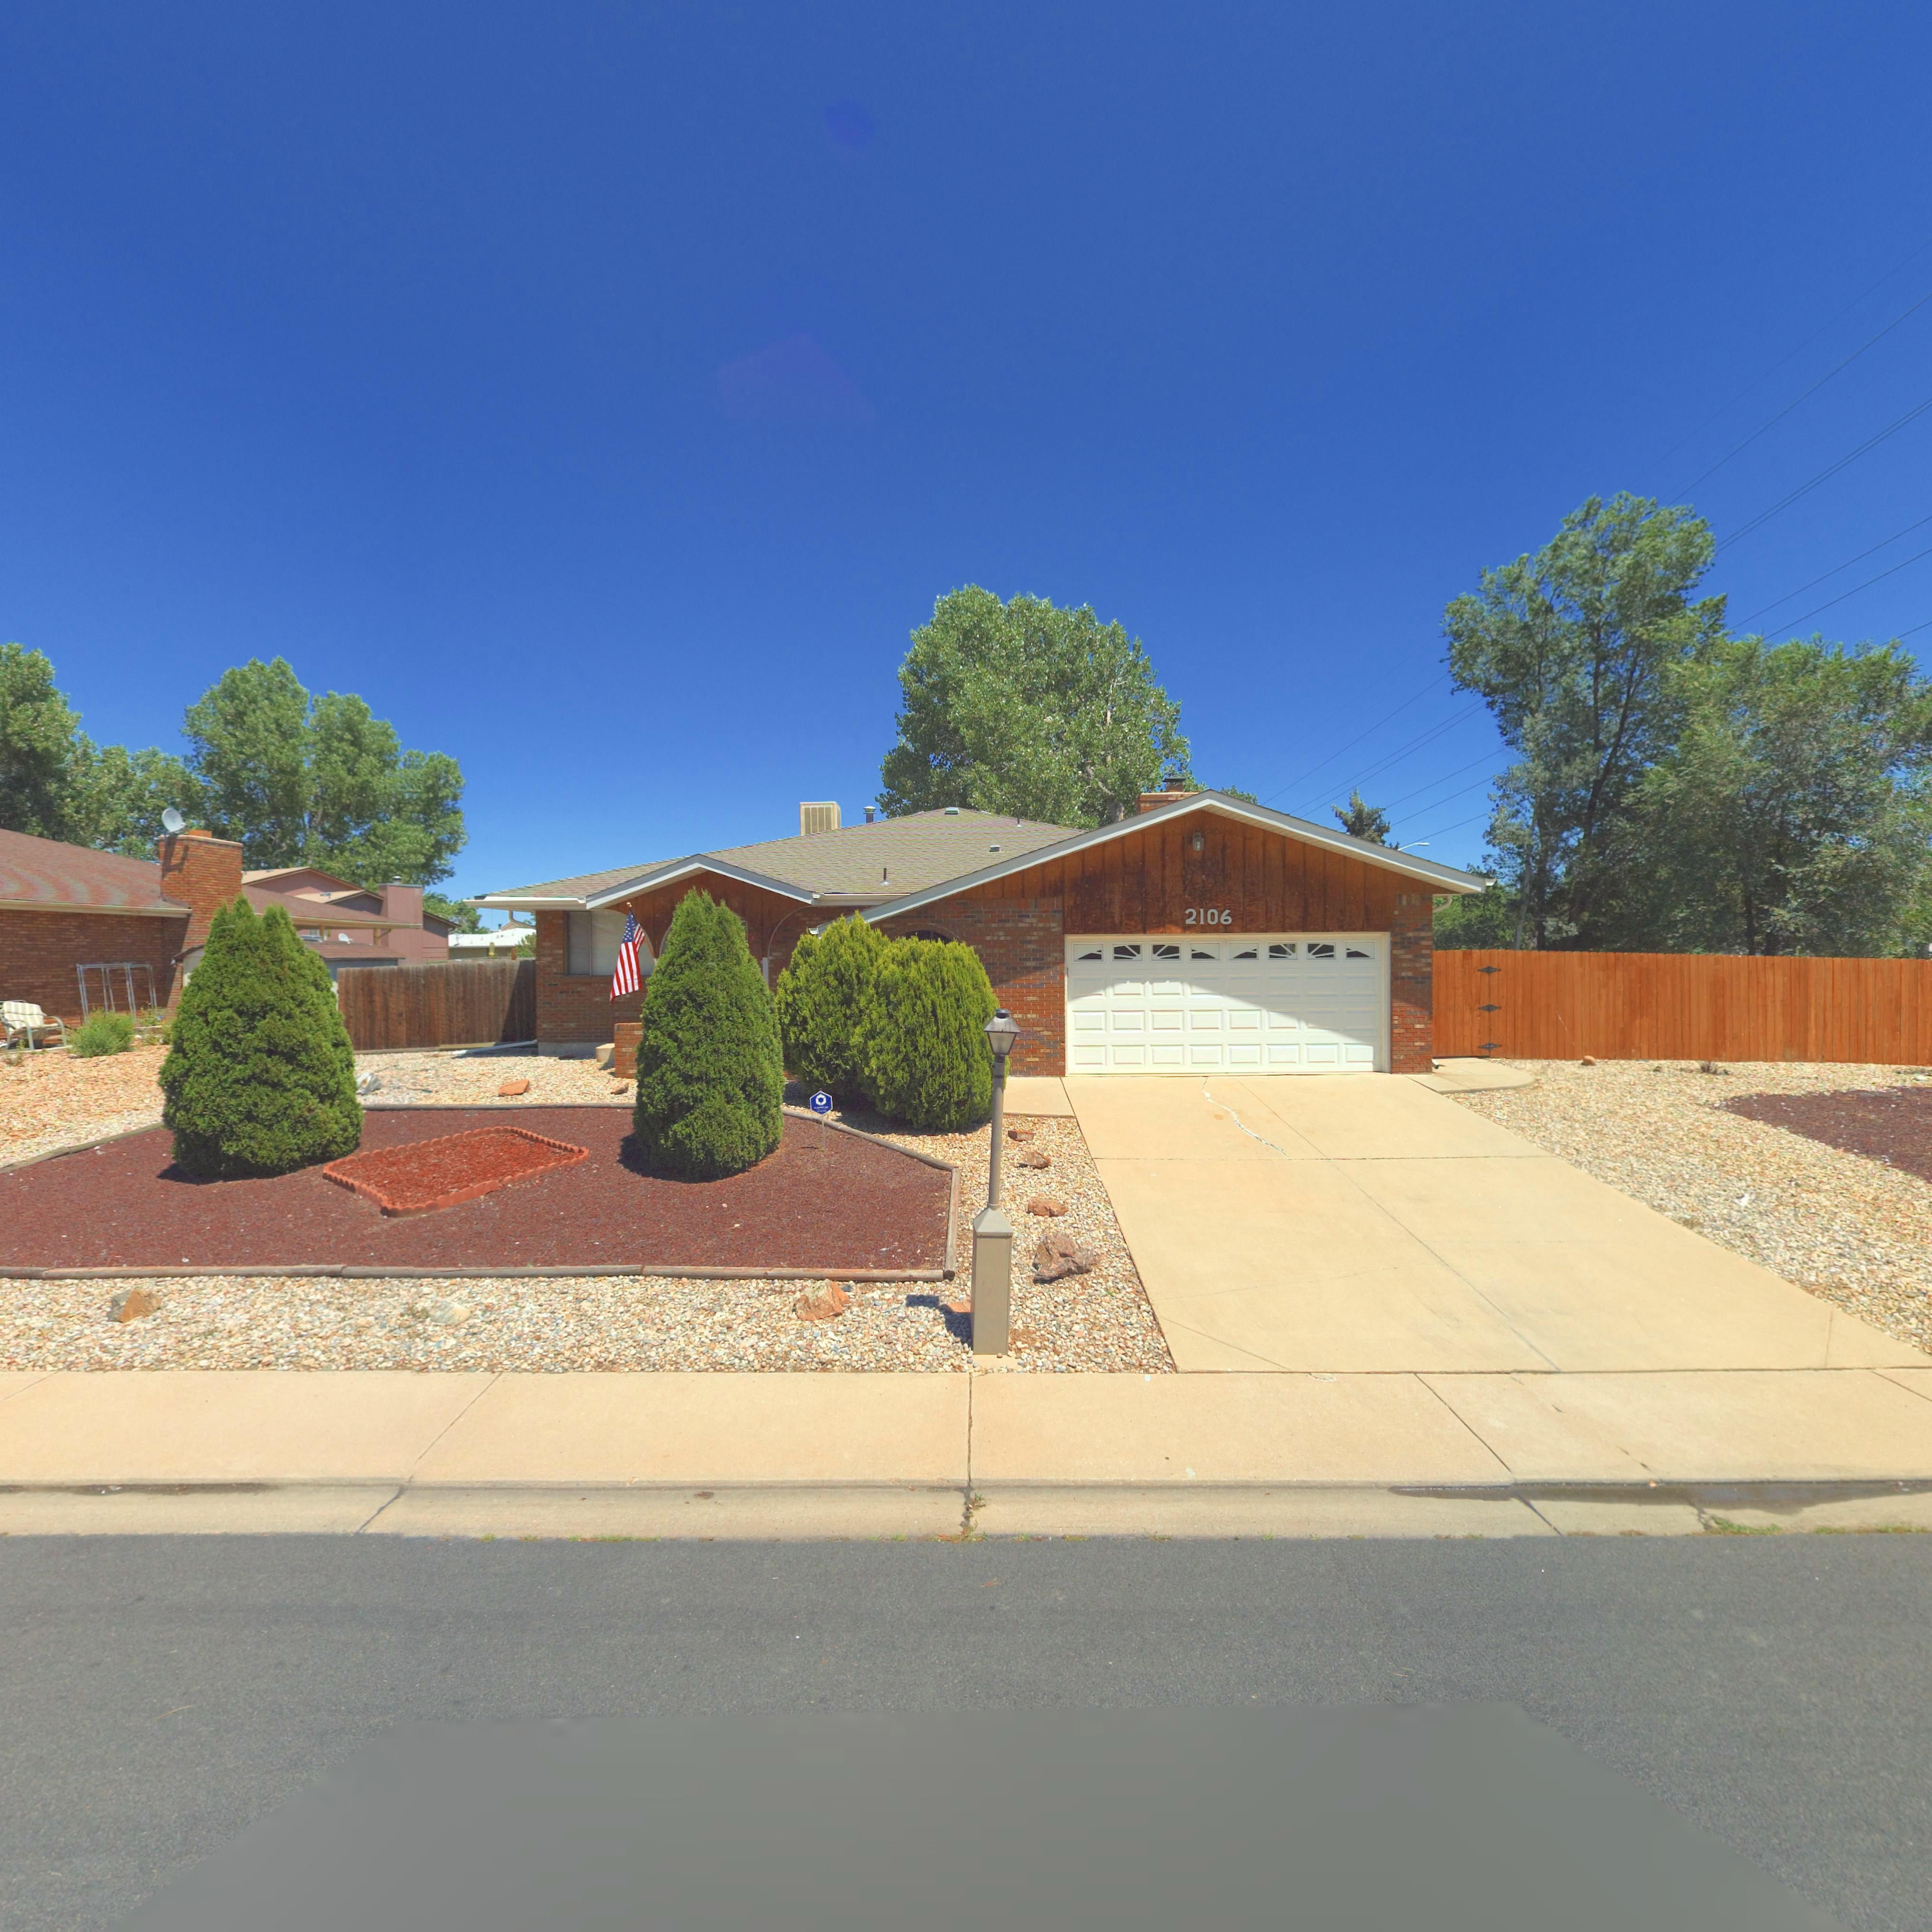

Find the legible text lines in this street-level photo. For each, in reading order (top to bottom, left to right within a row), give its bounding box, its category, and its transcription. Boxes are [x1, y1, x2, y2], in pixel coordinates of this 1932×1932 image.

[1184, 908, 1232, 925] StreetNumber: 2106